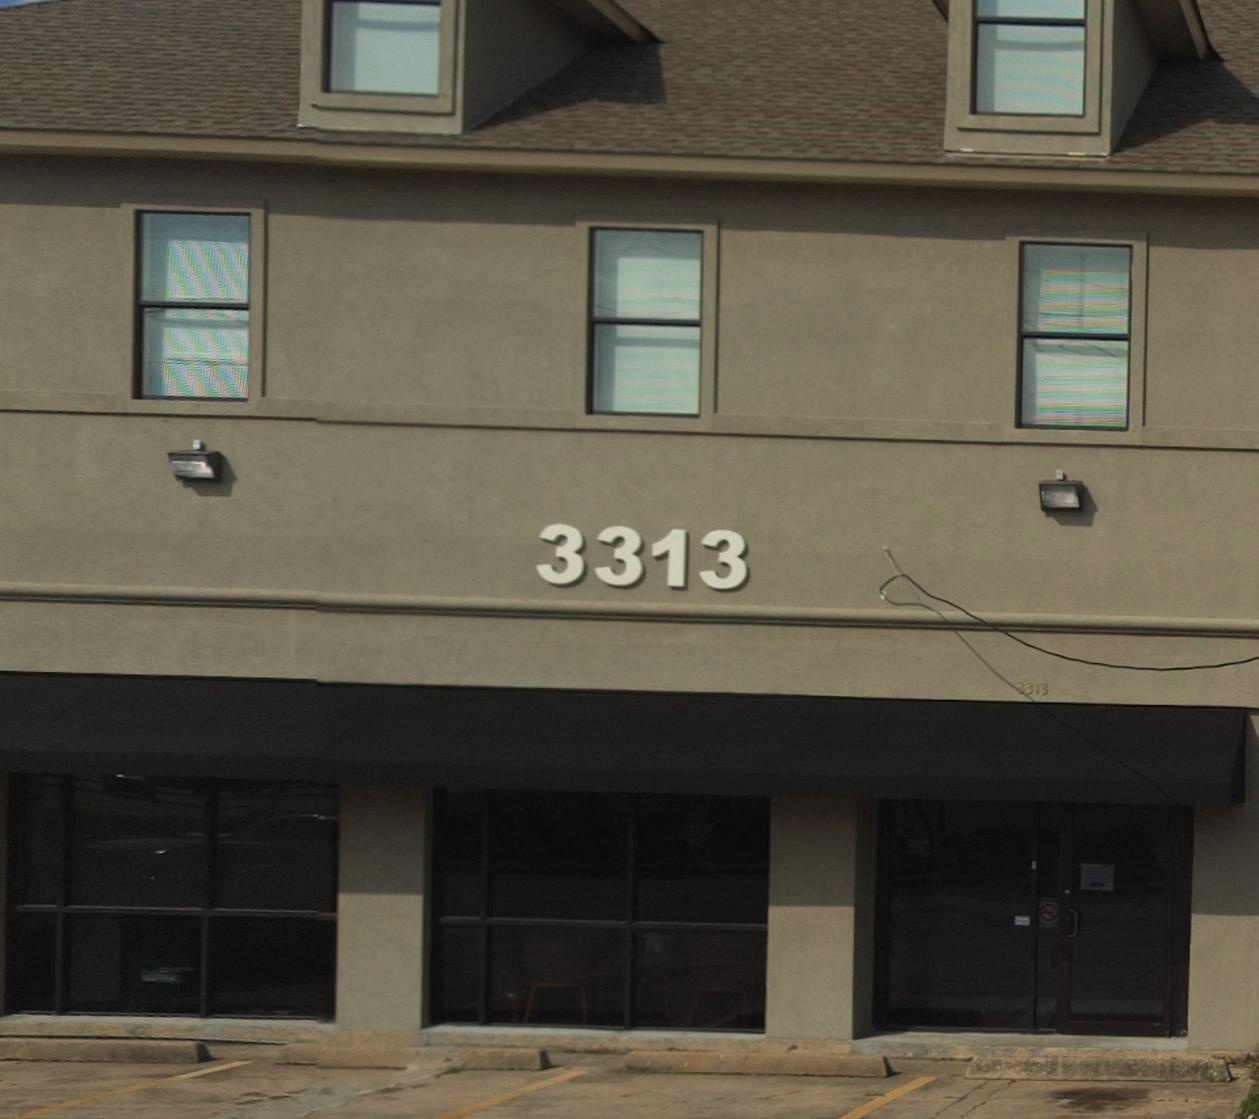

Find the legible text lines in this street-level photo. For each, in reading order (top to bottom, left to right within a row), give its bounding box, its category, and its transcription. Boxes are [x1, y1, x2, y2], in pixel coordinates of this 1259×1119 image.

[534, 520, 755, 598] StreetNumber: 3313
[1015, 678, 1050, 697] StreetNumber: 3313